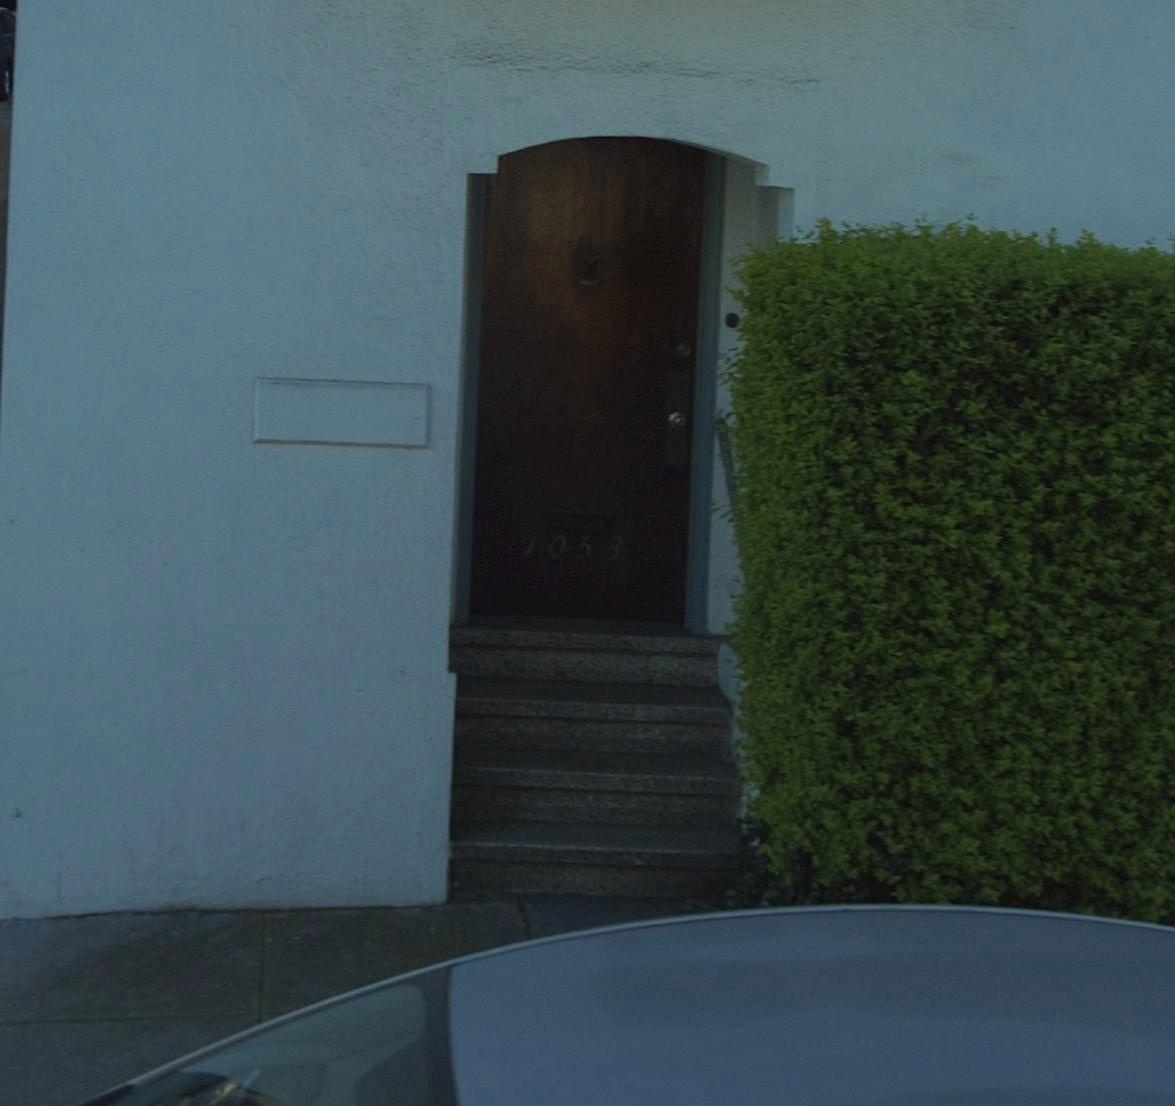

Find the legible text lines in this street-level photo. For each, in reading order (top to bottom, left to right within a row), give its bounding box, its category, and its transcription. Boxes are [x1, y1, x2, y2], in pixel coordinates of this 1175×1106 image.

[520, 525, 626, 564] StreetNumber: 1053